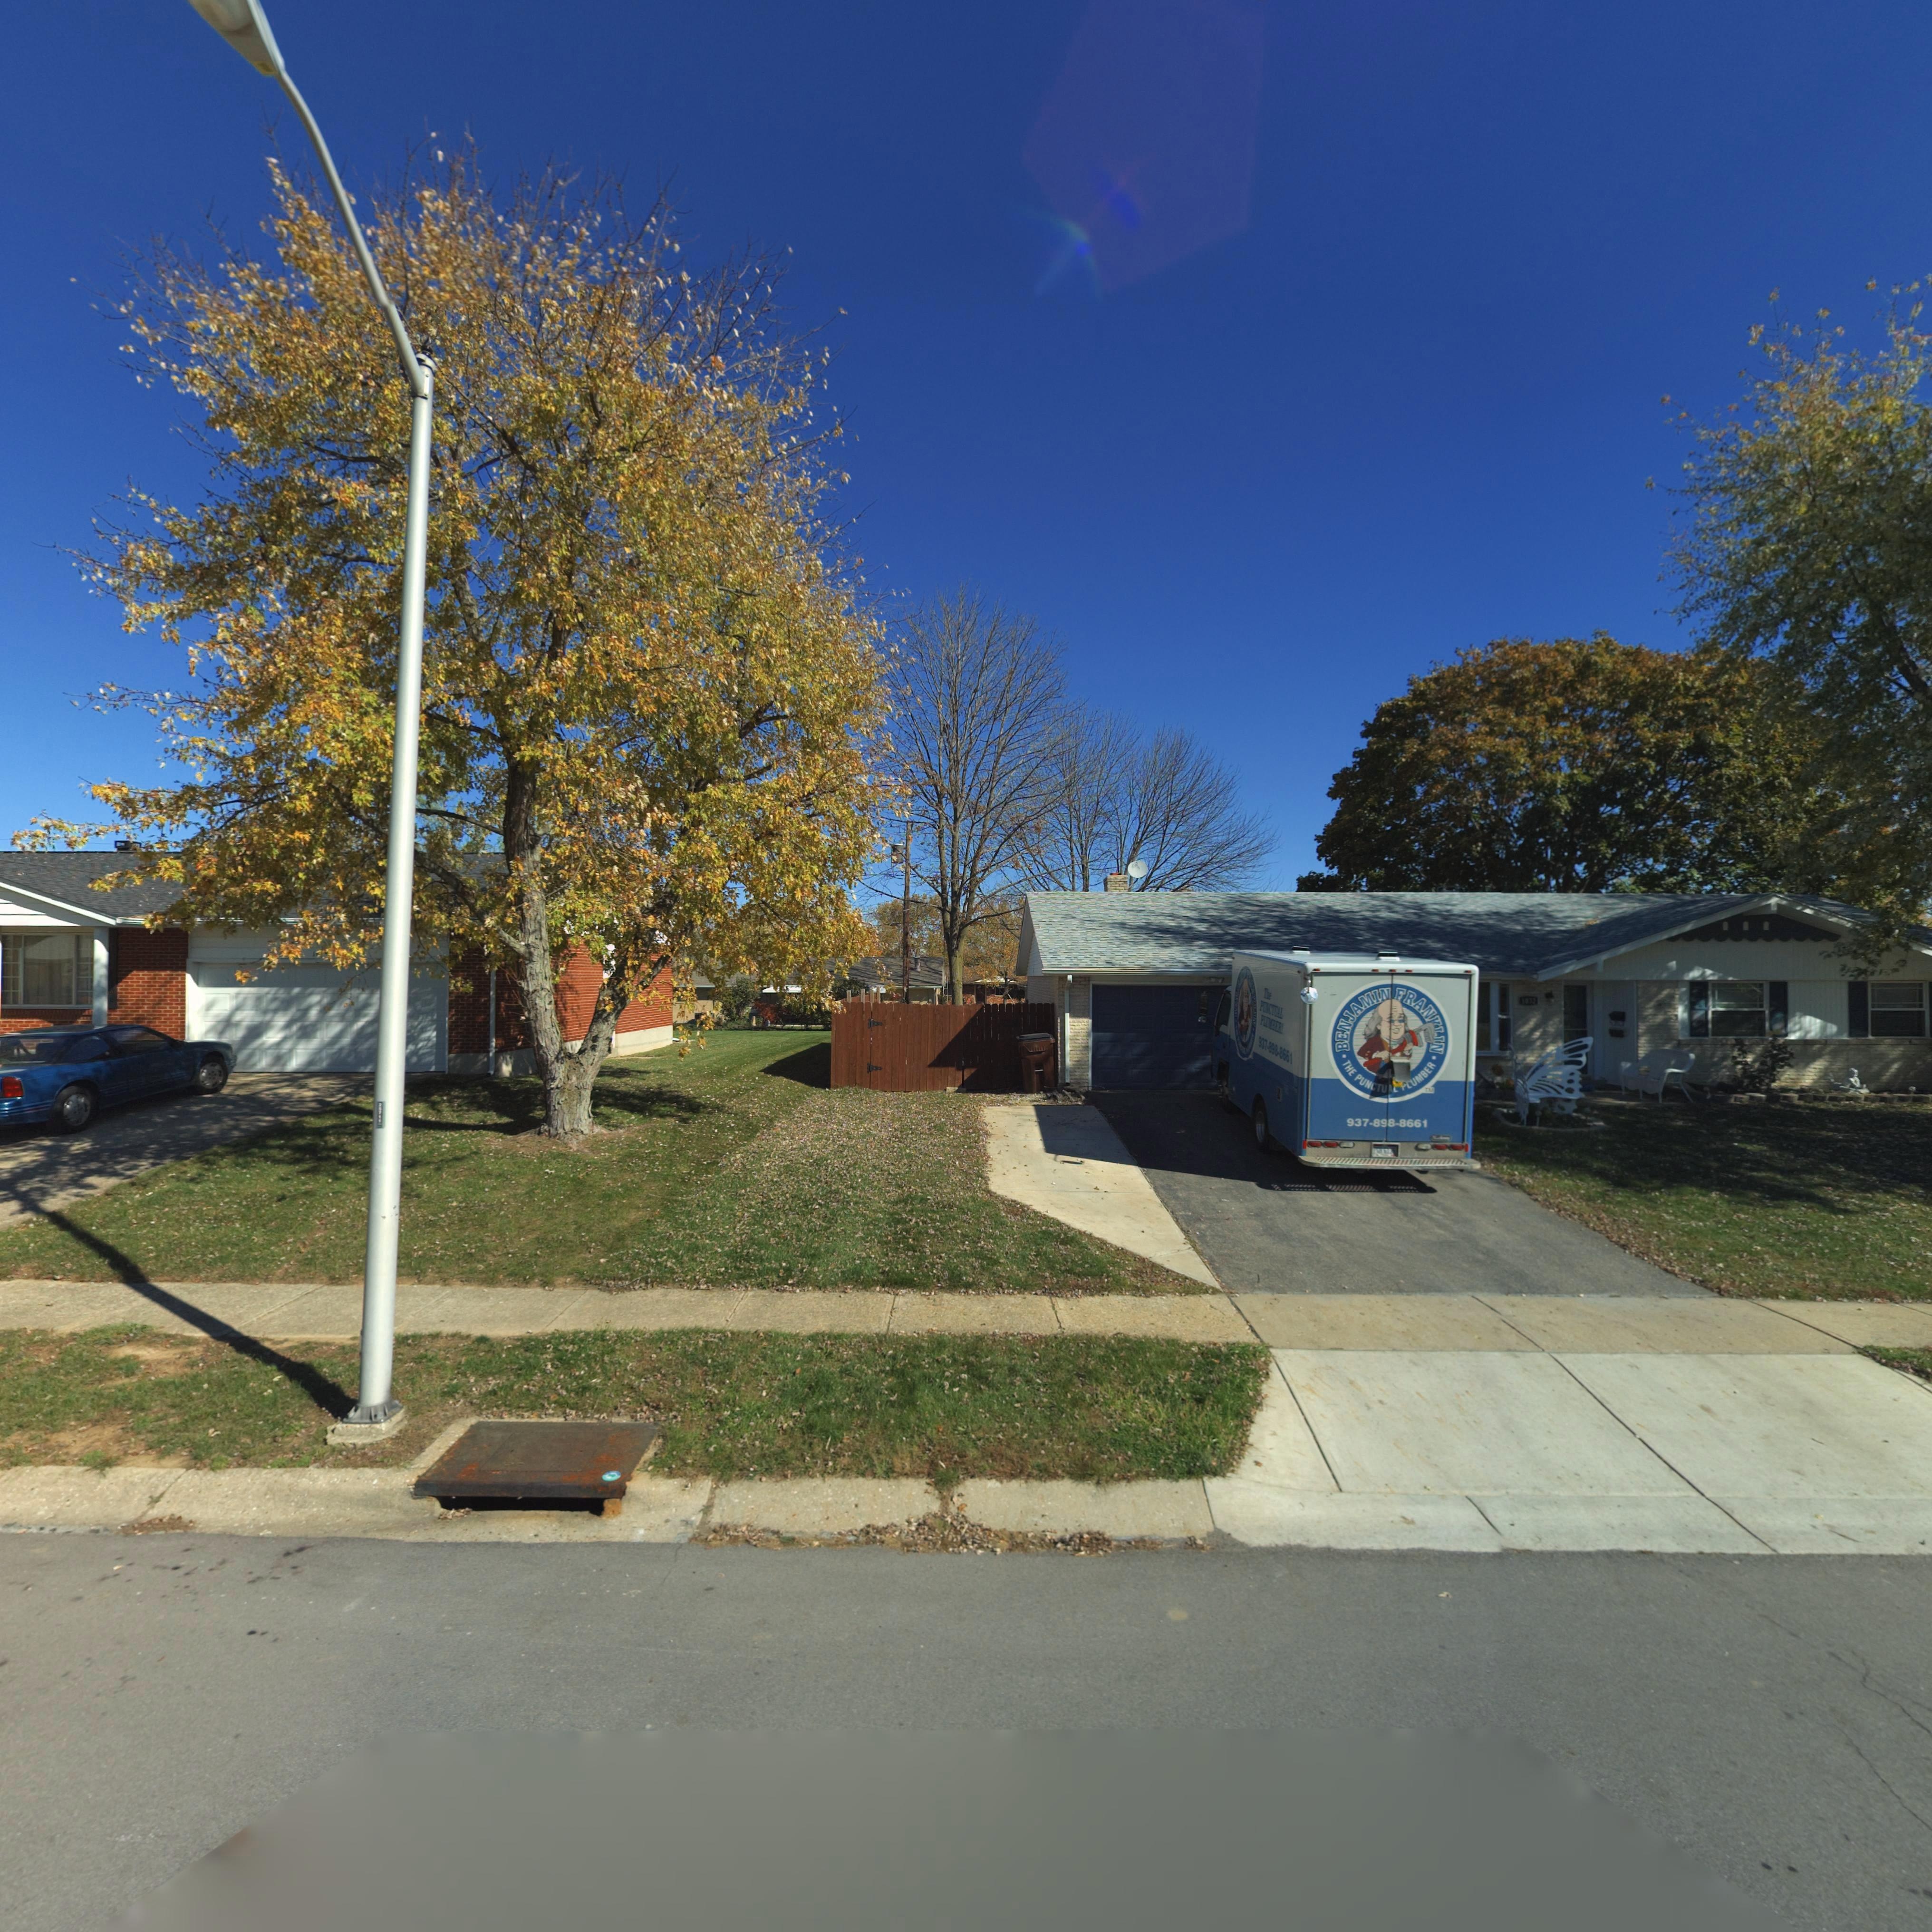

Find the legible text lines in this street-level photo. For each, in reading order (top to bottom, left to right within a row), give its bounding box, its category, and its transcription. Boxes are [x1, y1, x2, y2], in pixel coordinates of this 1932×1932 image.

[1521, 997, 1537, 1005] StreetNumber: 10**